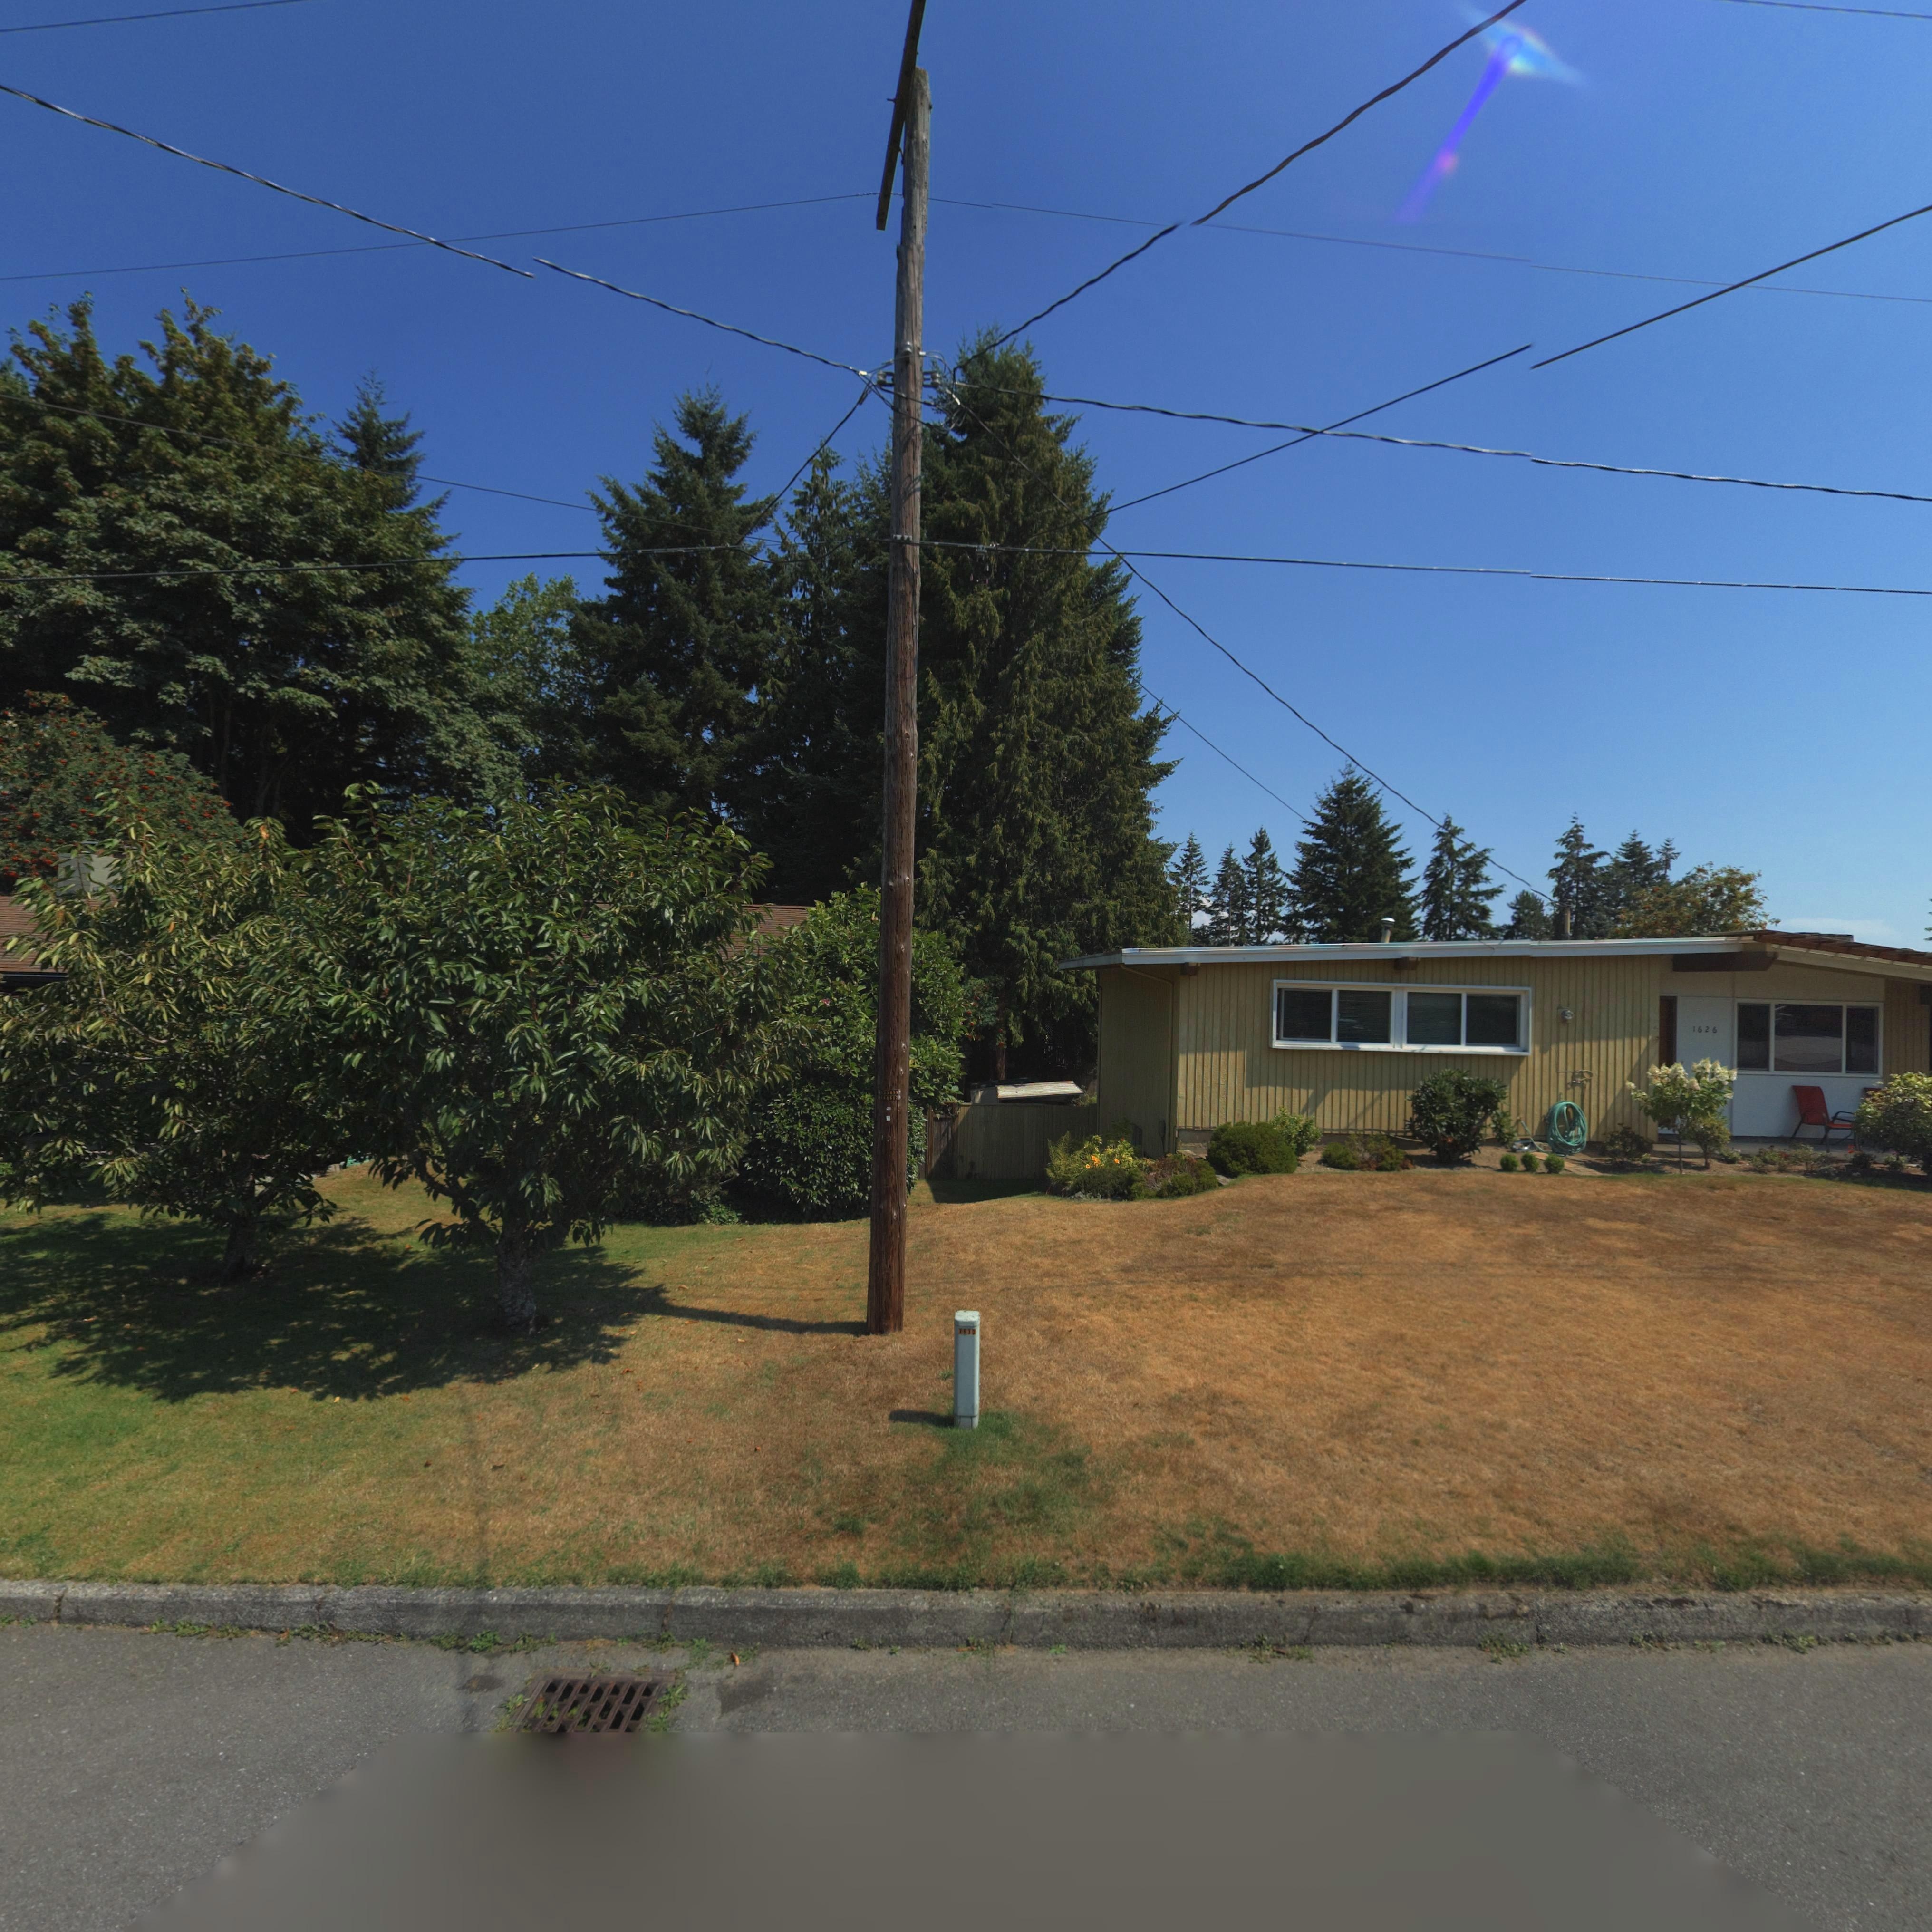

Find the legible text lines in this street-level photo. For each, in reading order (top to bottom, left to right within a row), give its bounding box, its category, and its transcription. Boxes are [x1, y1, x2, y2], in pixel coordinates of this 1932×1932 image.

[1692, 1026, 1717, 1034] StreetNumber: 1626